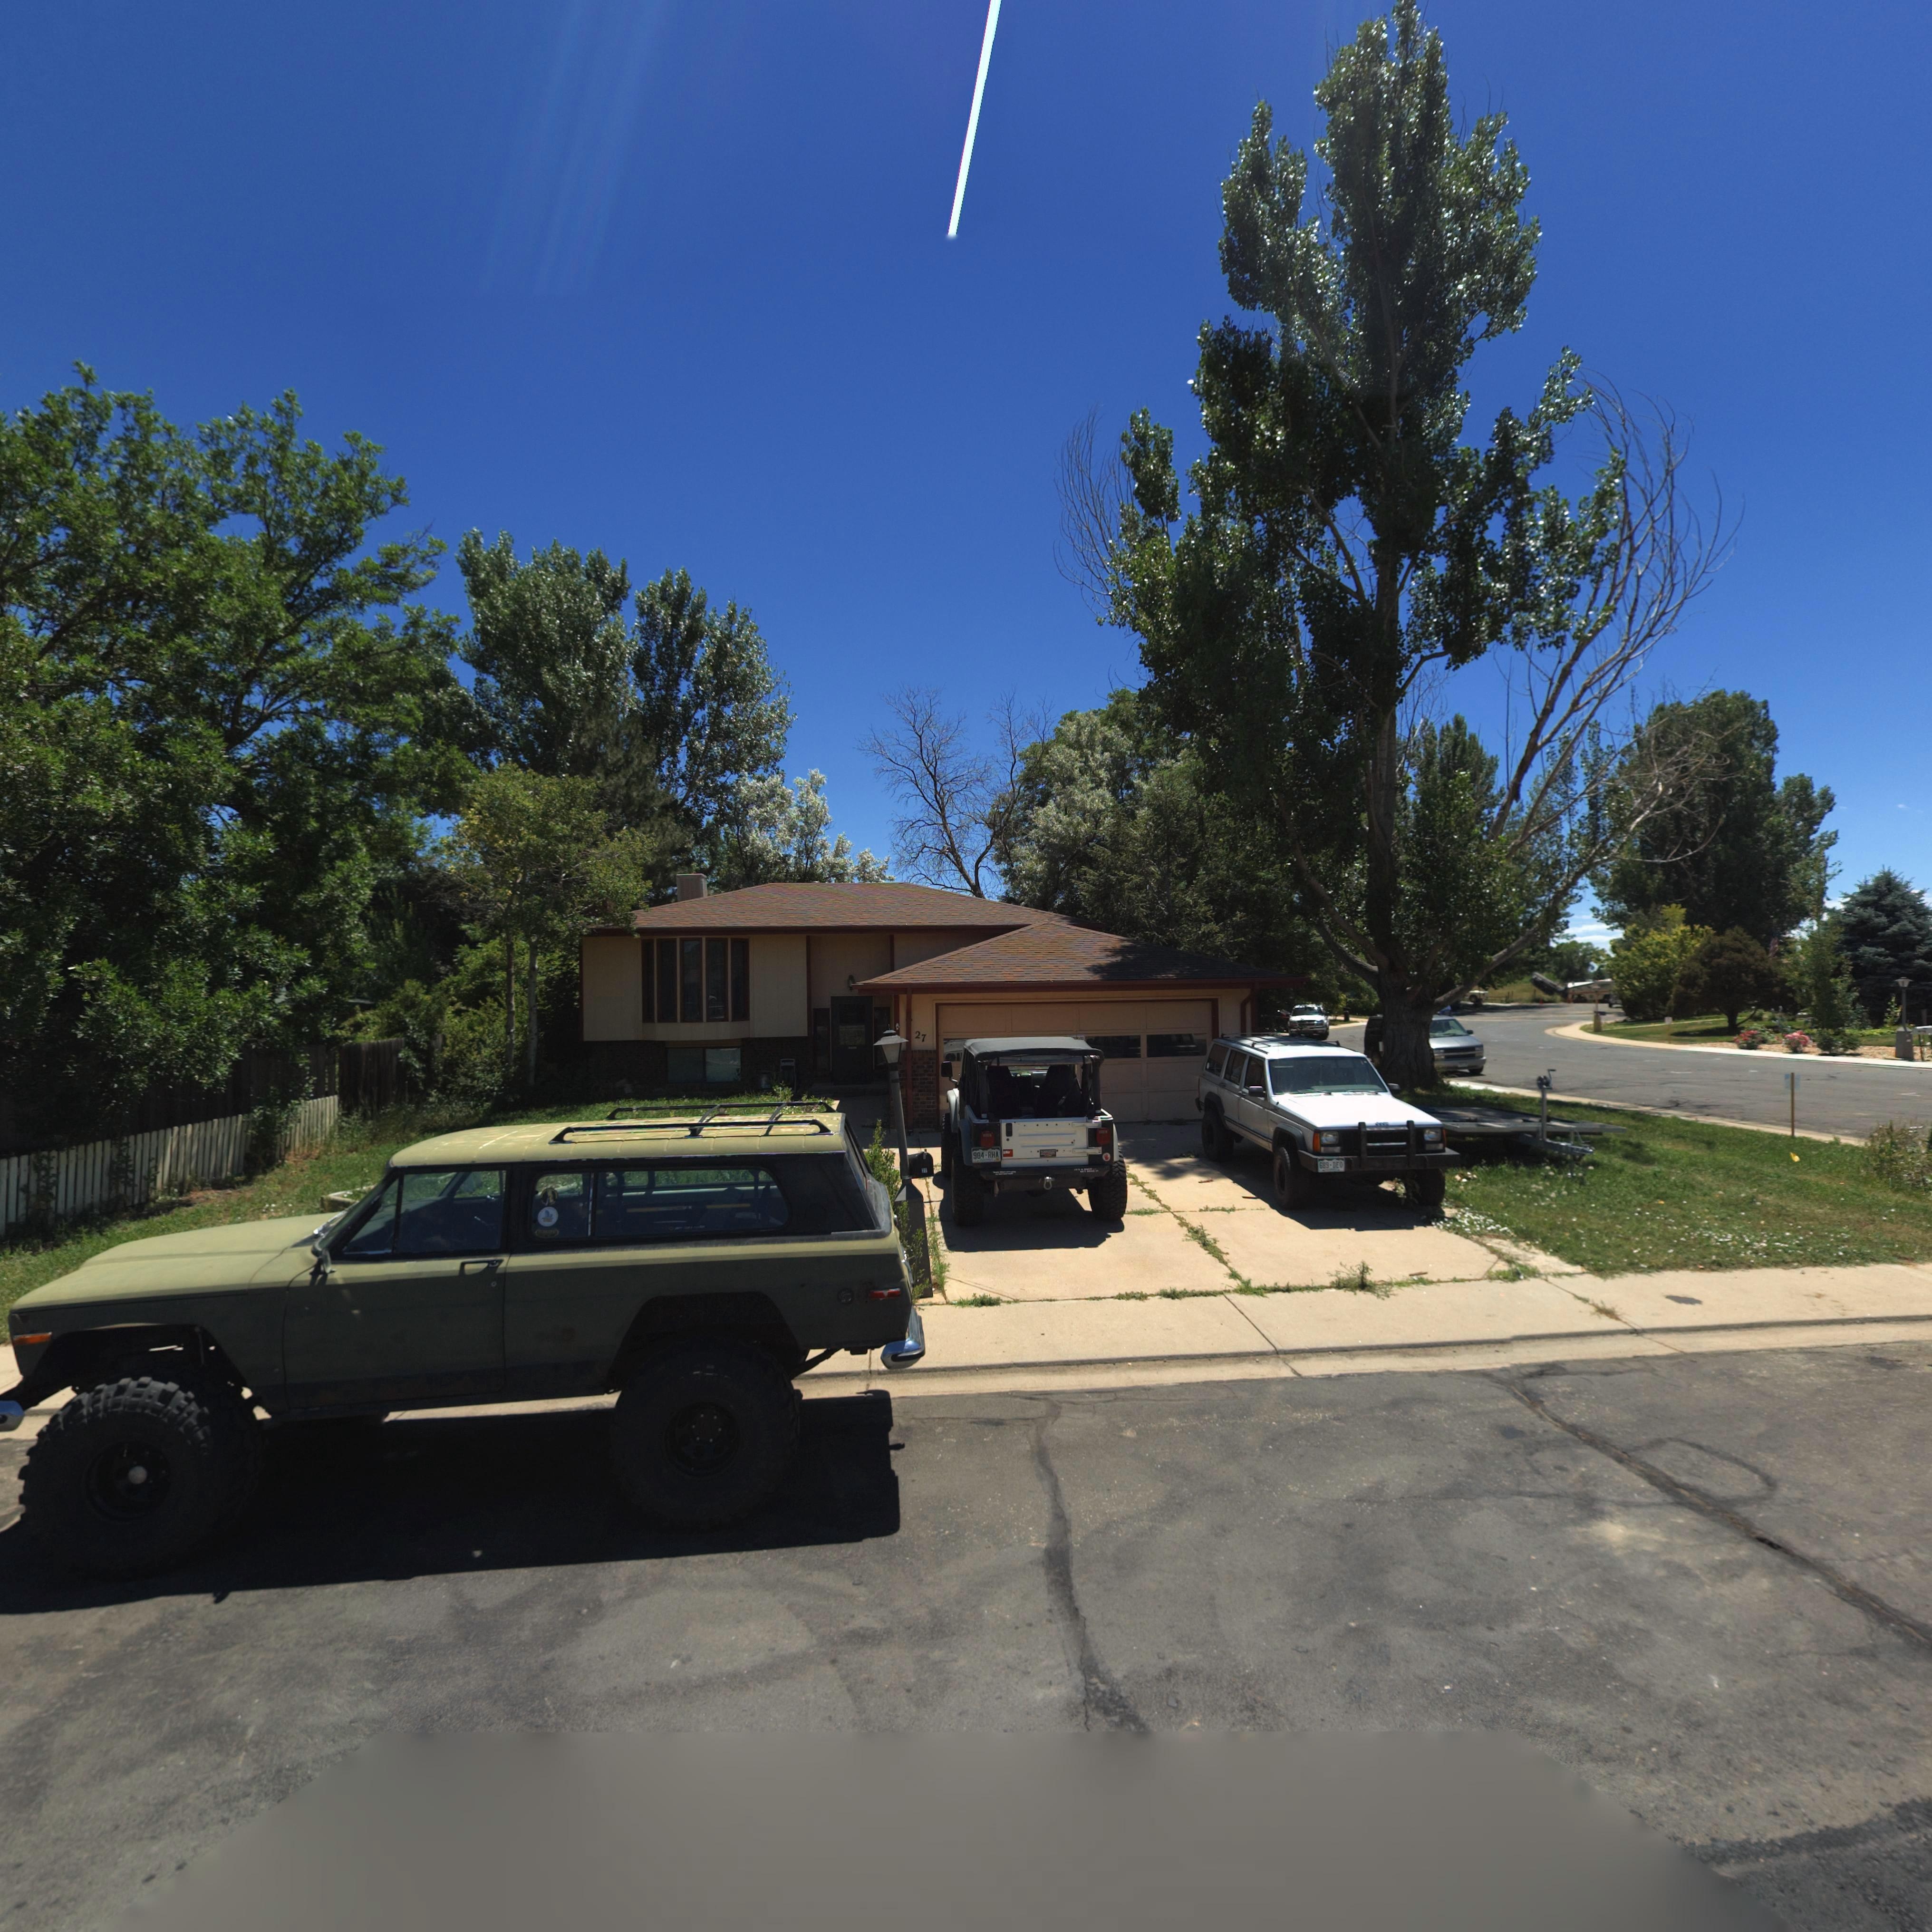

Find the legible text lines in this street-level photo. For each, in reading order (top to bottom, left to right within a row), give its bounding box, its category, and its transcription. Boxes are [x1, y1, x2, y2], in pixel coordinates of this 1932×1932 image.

[914, 1030, 927, 1043] StreetNumber: 27